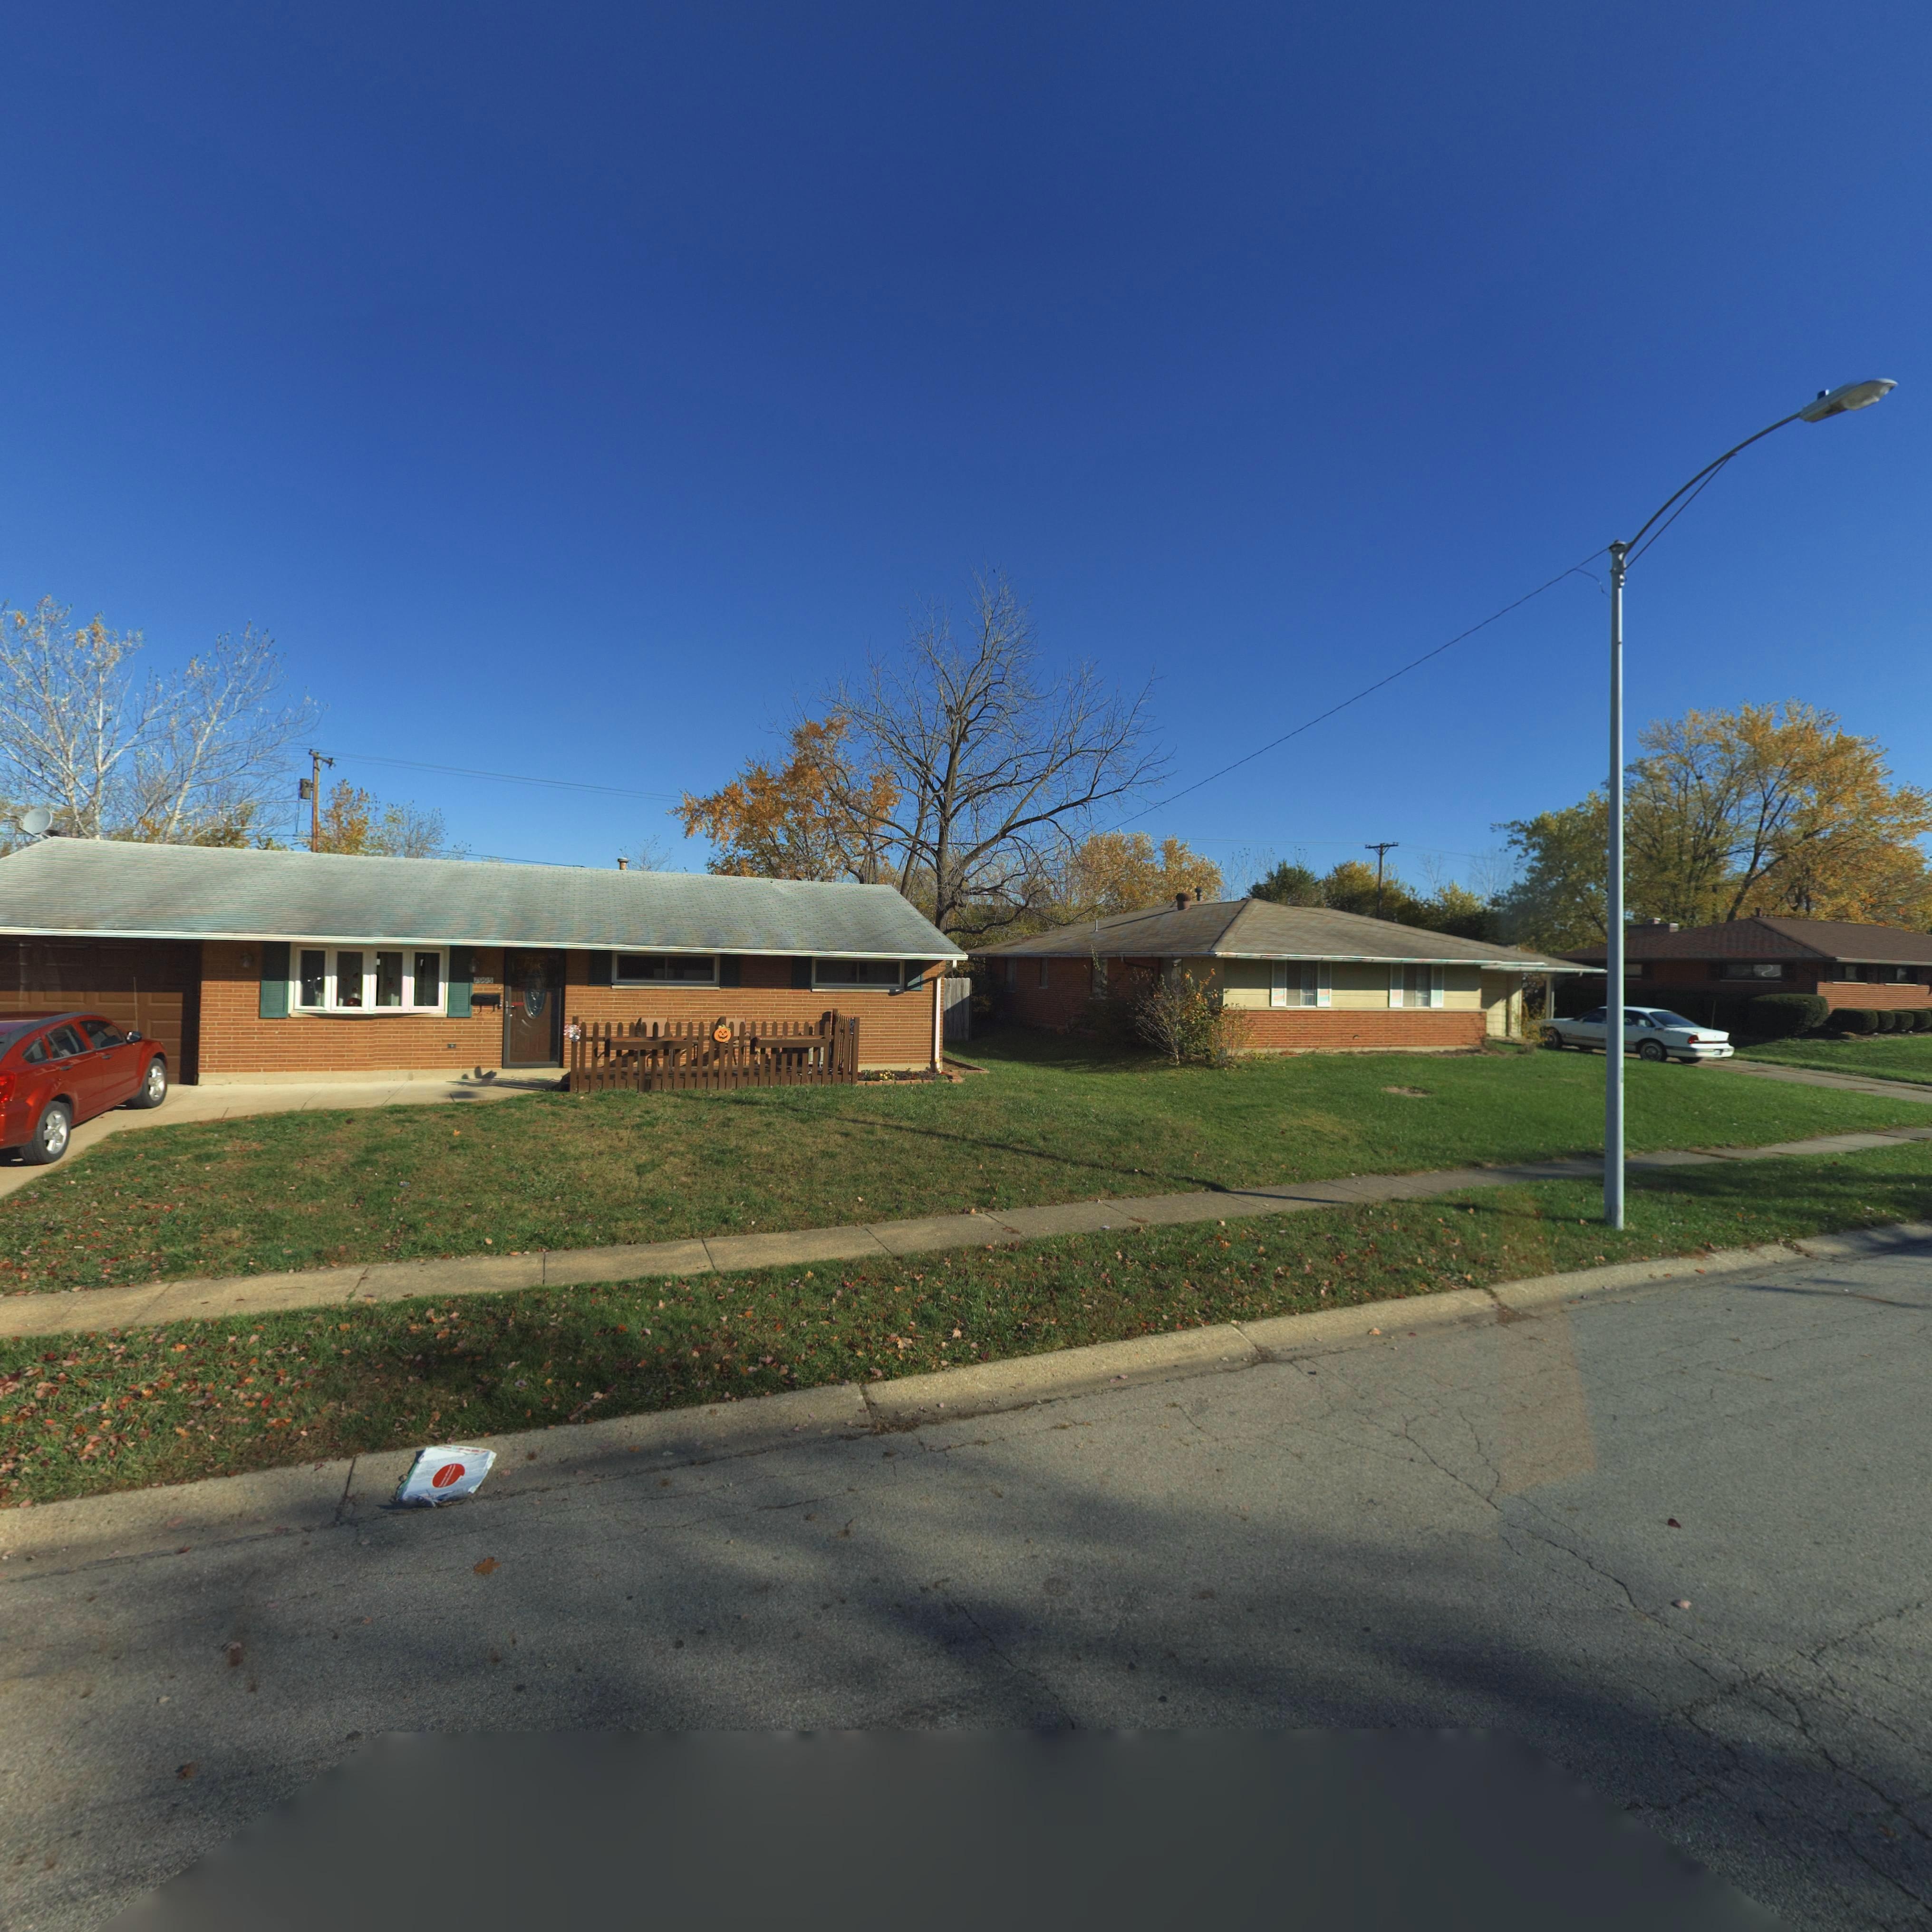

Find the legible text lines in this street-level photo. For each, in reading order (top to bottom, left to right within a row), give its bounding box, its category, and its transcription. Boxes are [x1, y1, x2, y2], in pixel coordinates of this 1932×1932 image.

[474, 977, 493, 984] StreetNumber: 7995